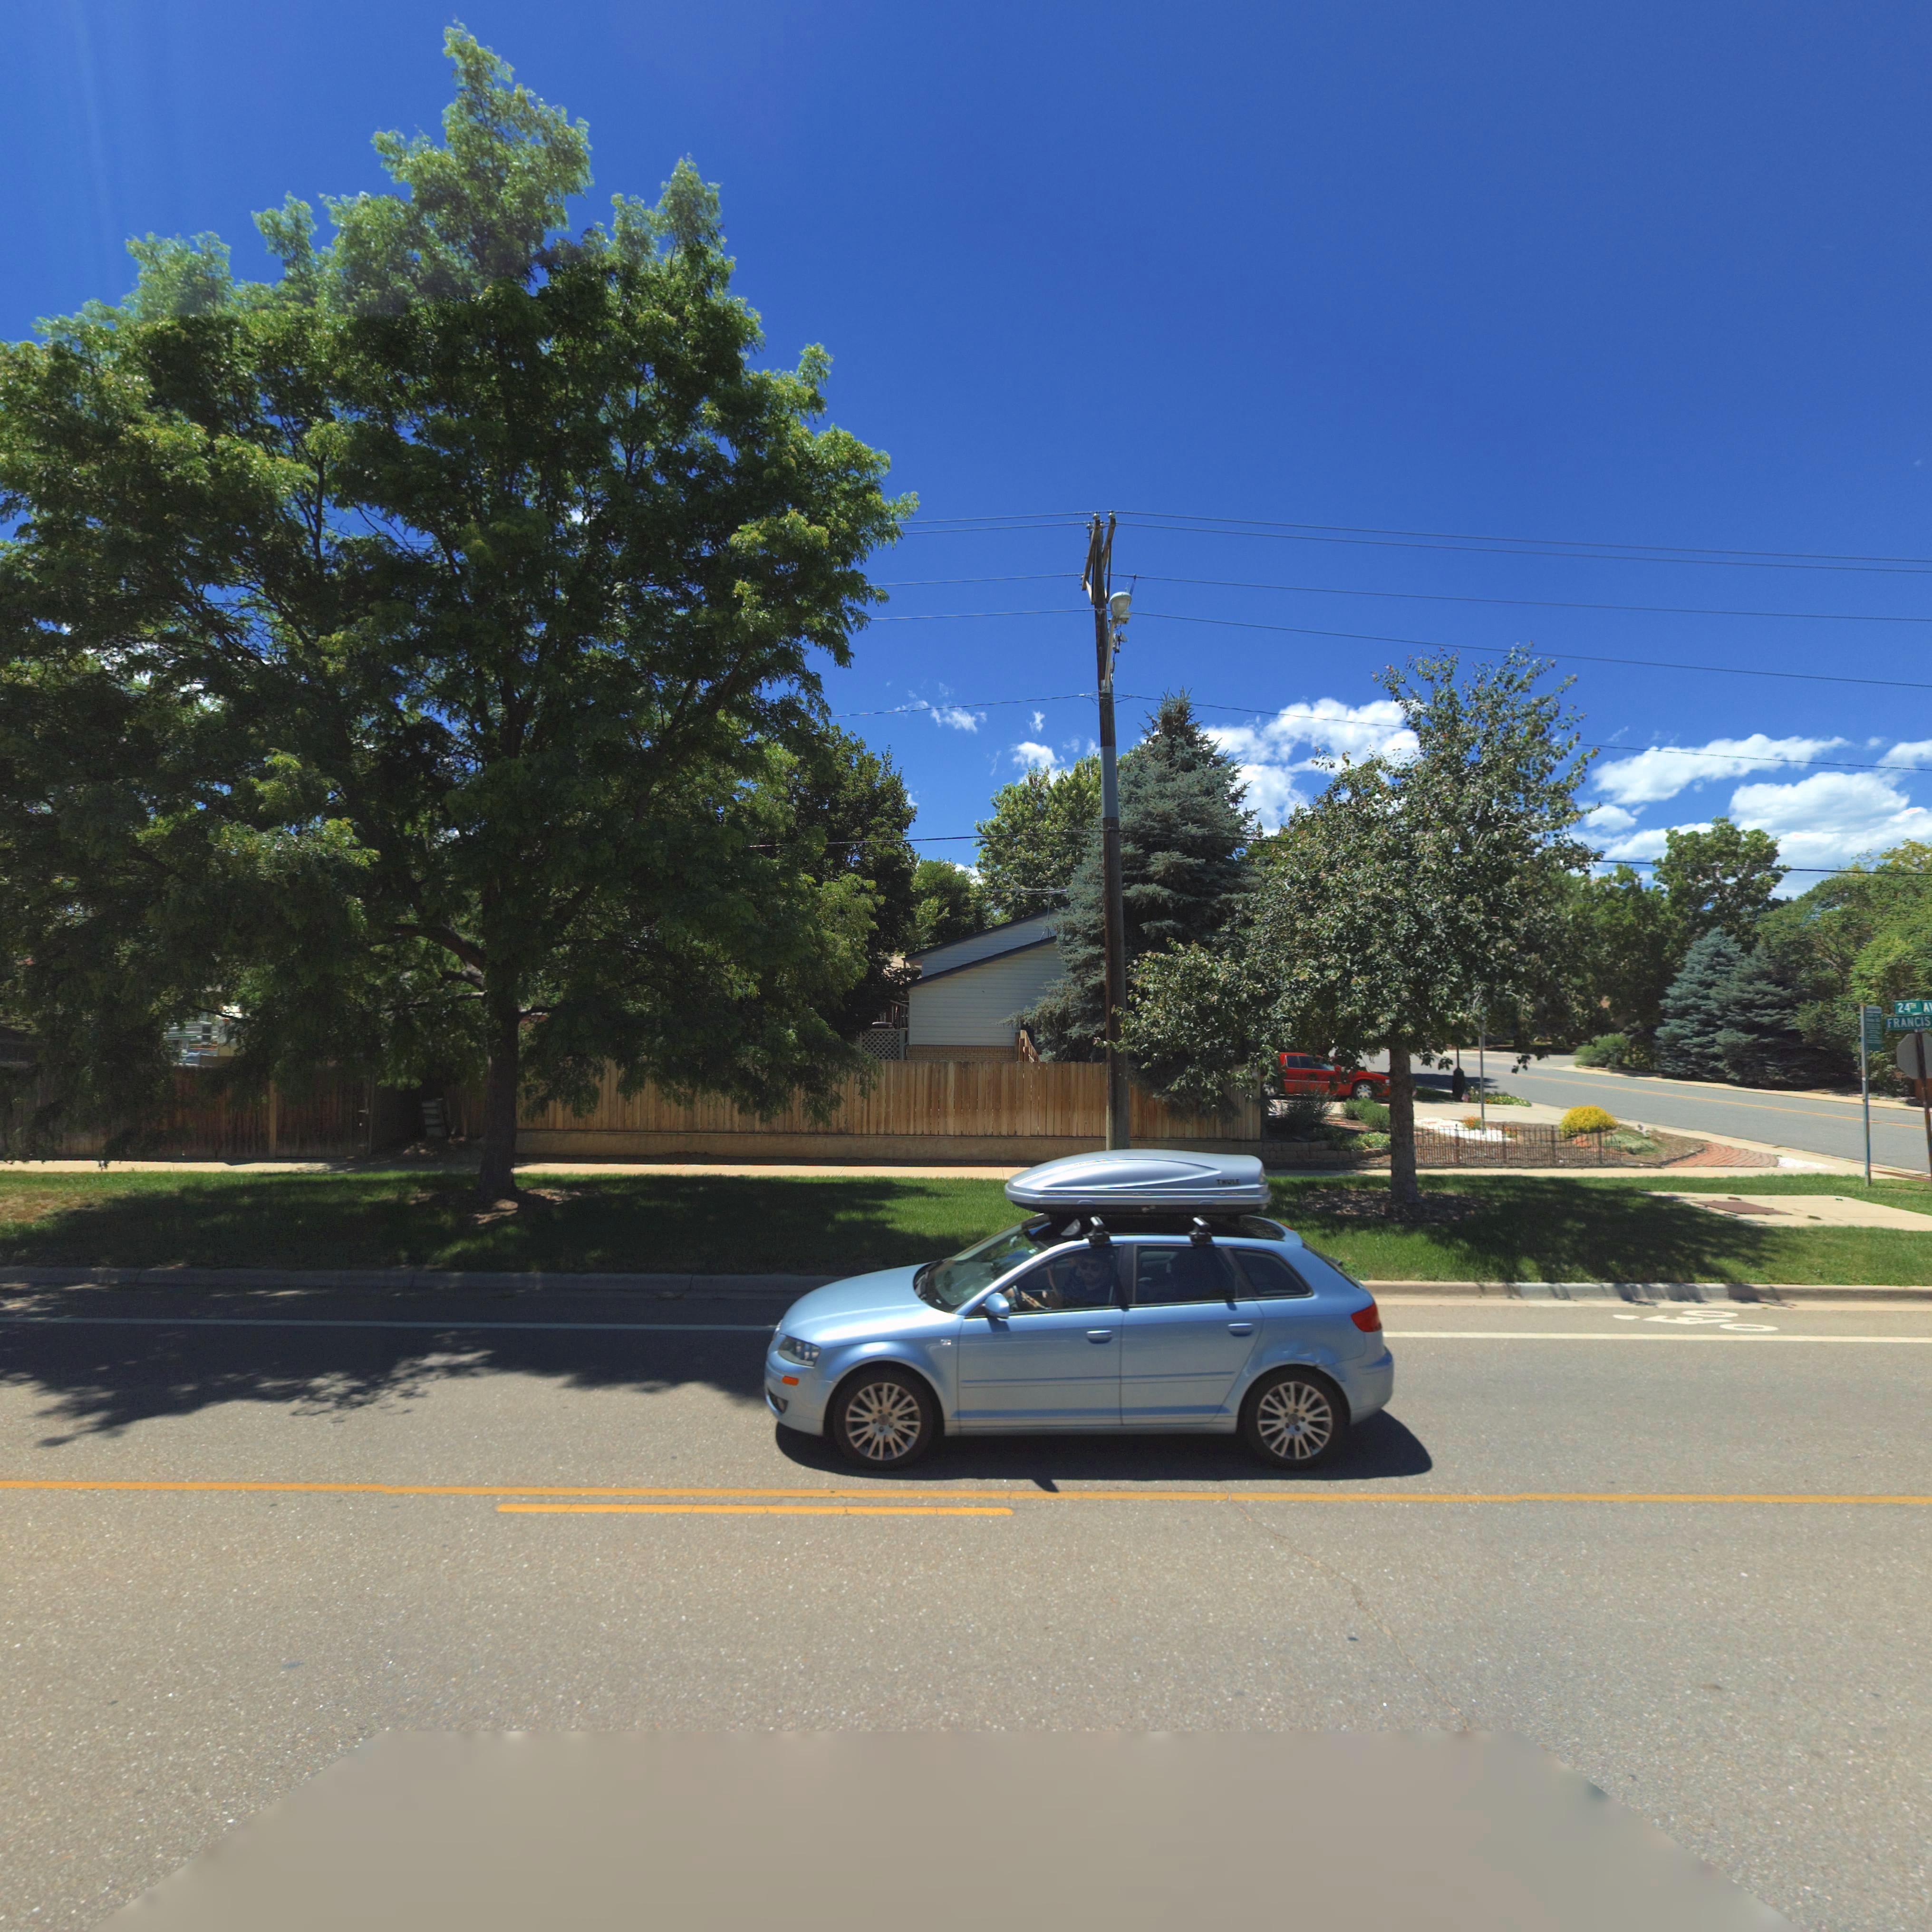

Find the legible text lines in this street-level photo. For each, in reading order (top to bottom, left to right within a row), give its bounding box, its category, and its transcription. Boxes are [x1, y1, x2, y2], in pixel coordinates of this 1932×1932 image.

[1897, 1002, 1932, 1013] StreetName: 24th A*
[1887, 1016, 1931, 1027] StreetName: FRANCIS